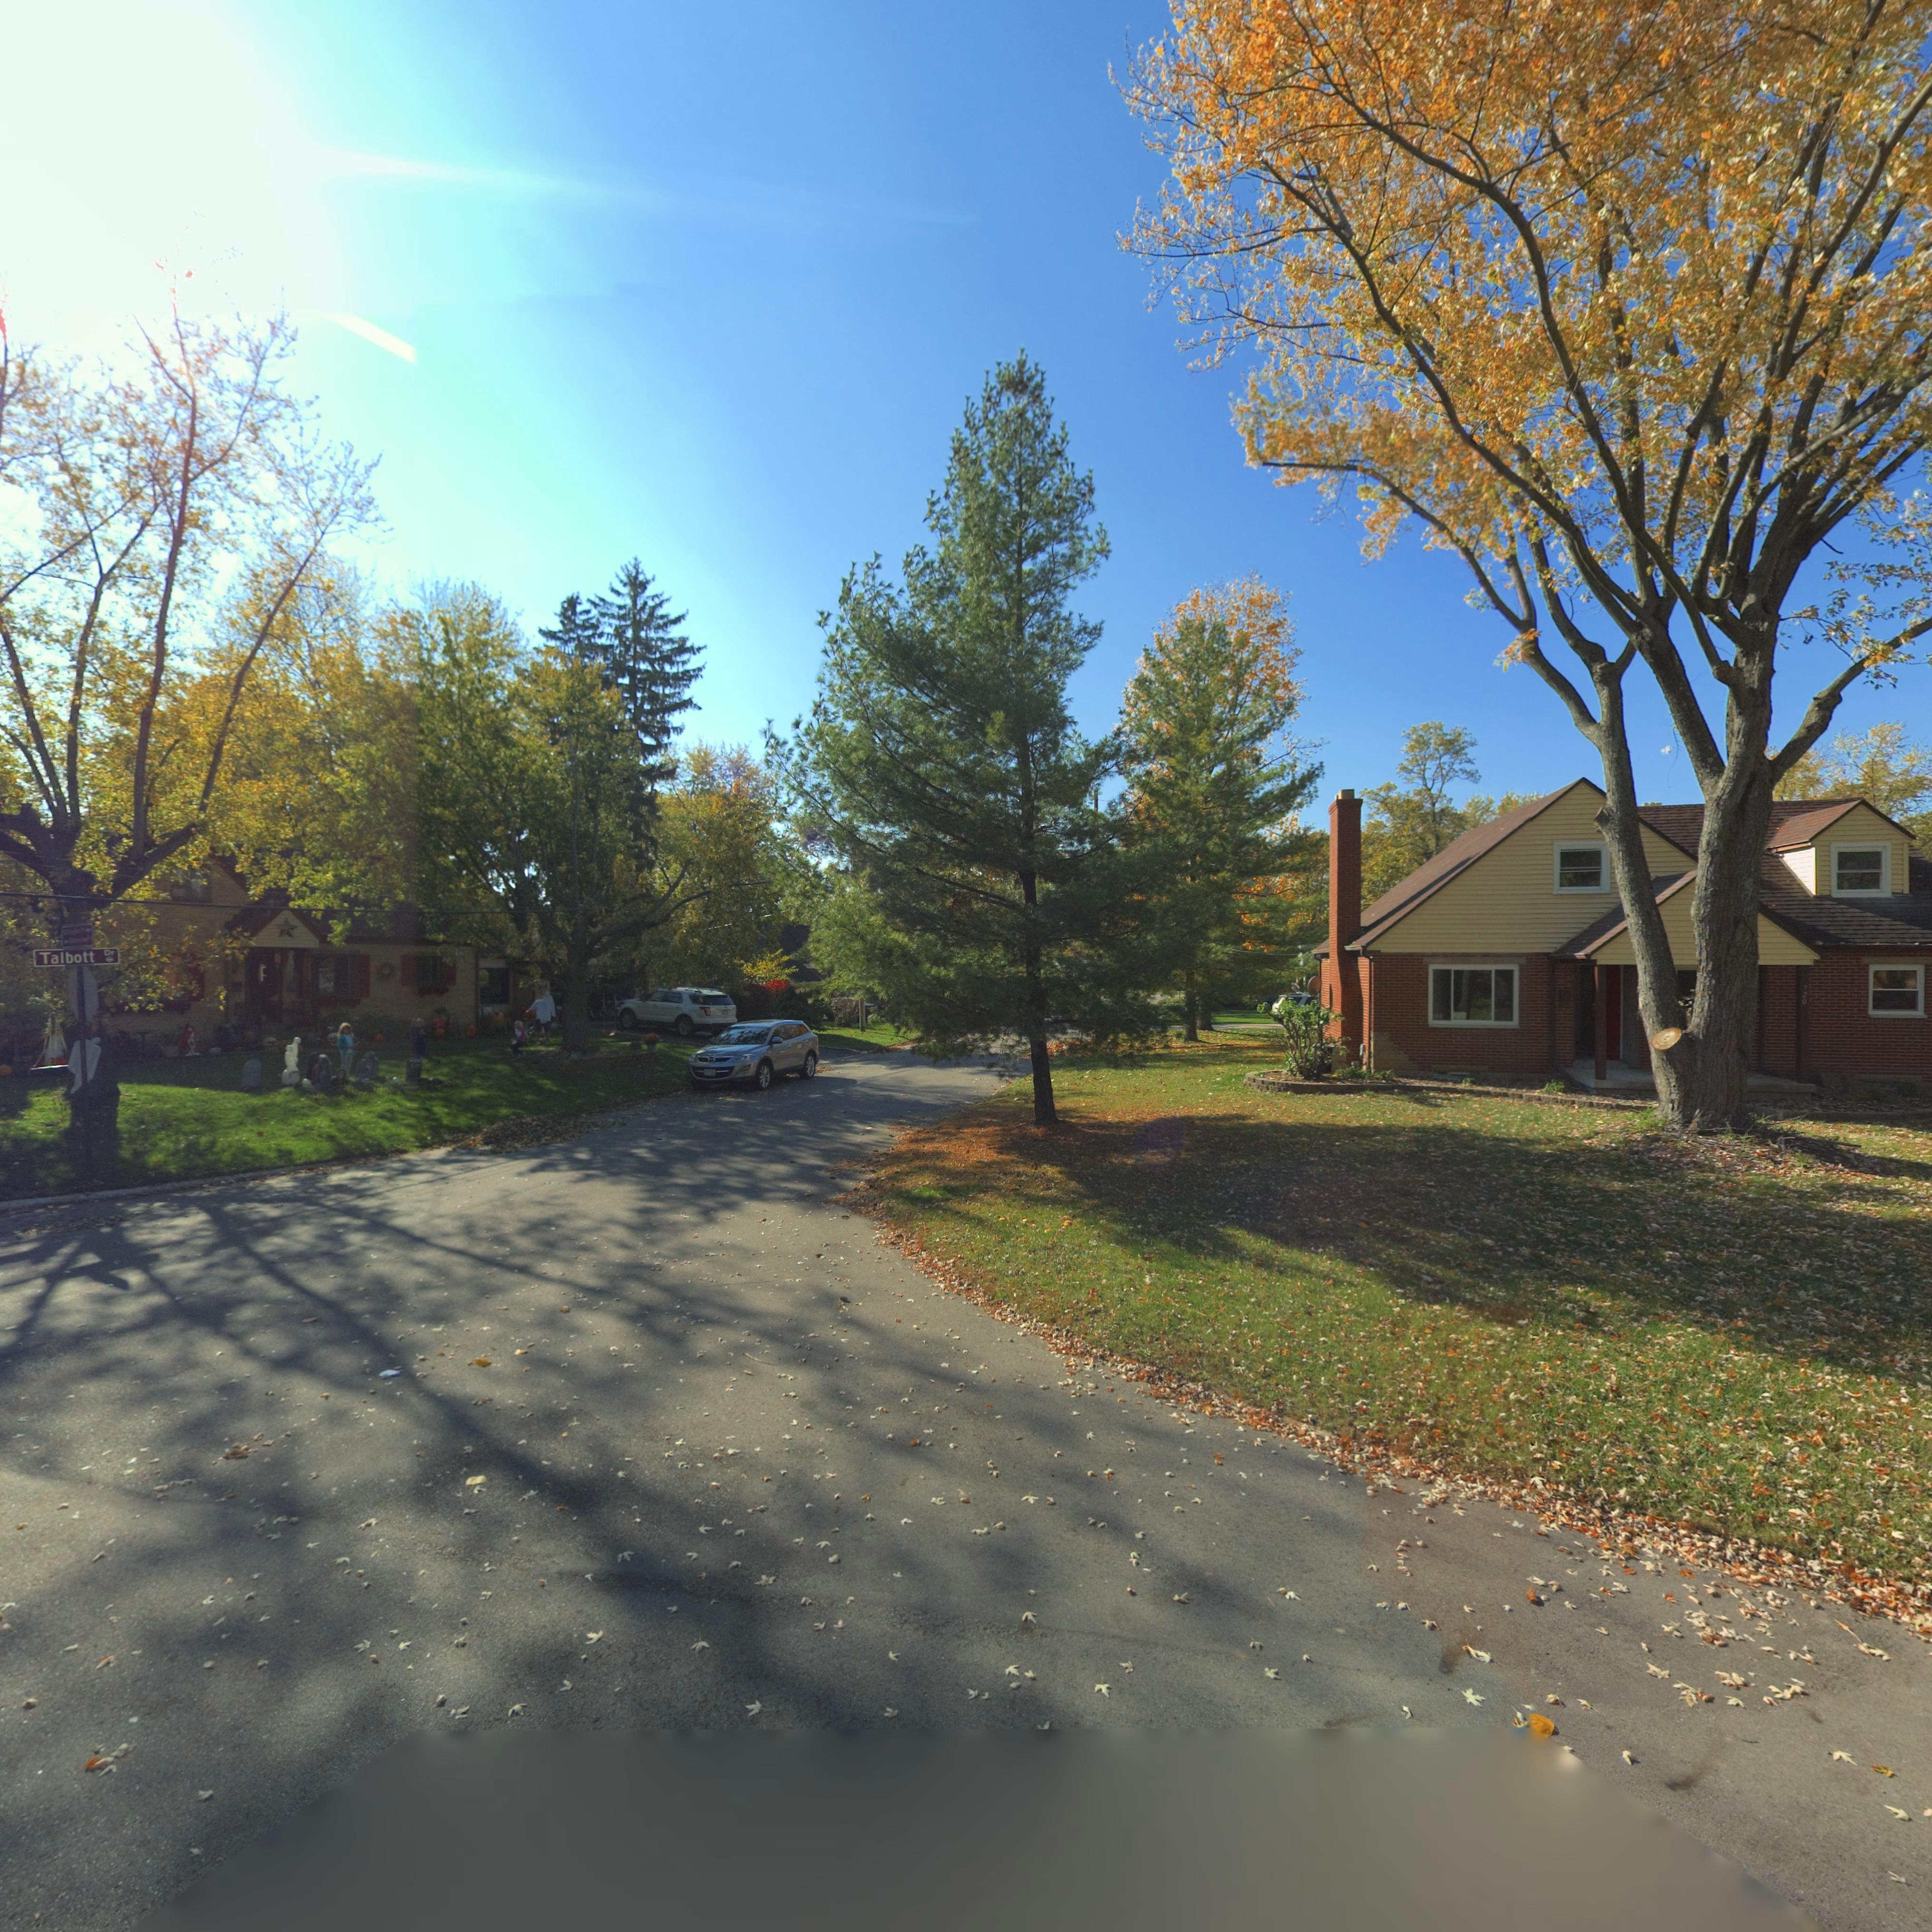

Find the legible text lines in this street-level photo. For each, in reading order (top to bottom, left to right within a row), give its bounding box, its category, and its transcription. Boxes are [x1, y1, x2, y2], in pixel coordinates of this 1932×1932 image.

[37, 948, 116, 966] StreetName: Talbott Dr